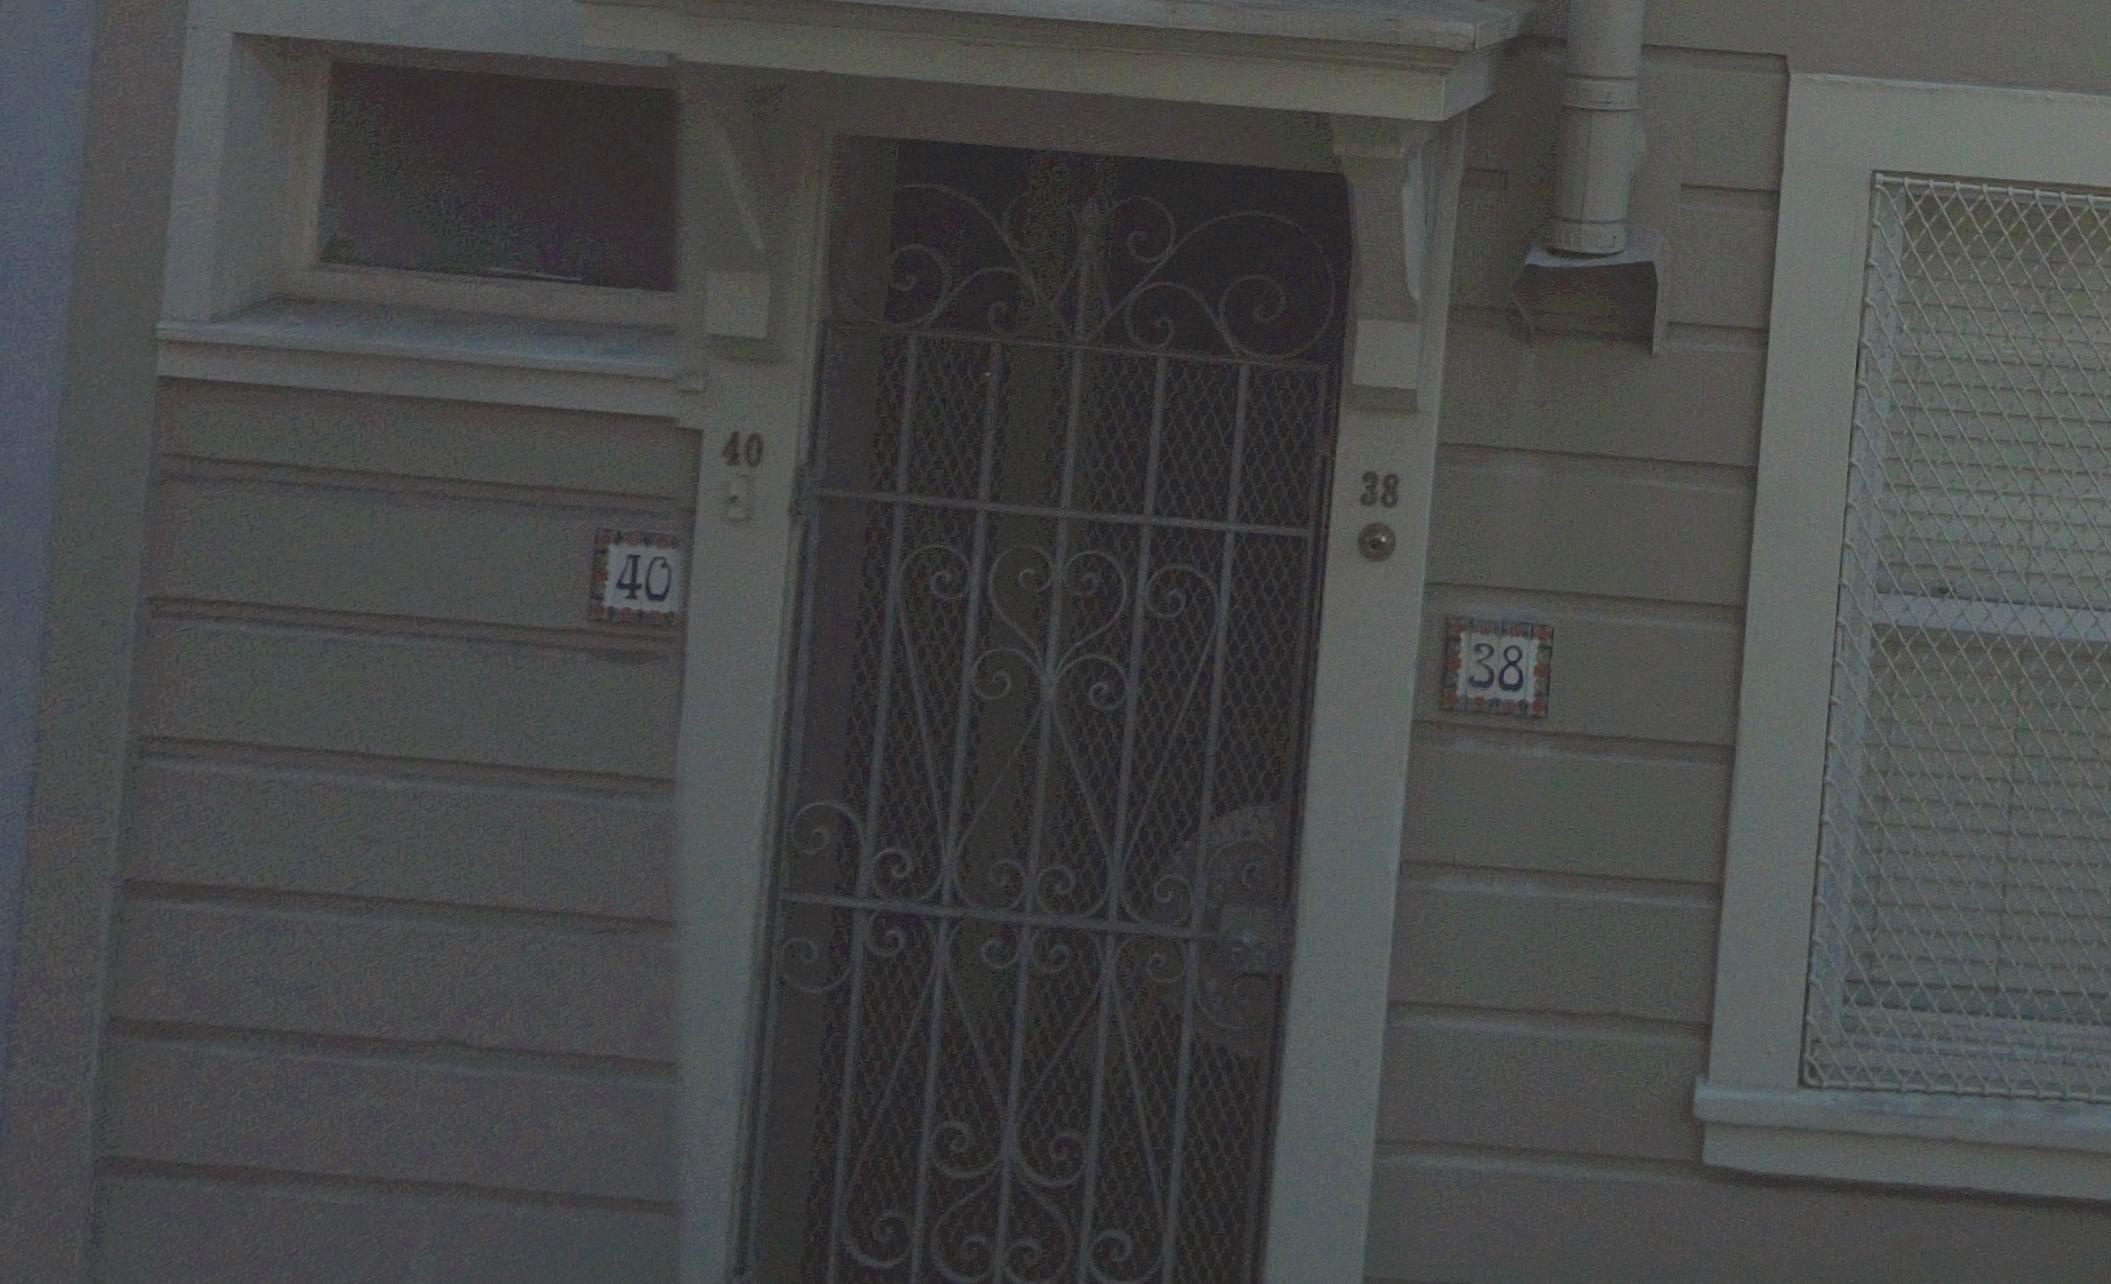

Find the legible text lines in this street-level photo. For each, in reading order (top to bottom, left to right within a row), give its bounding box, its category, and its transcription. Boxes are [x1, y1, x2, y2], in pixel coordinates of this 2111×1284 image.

[718, 425, 769, 474] StreetNumber: 40
[1356, 466, 1402, 512] StreetNumber: 38
[611, 547, 679, 605] StreetNumber: 40
[1462, 639, 1529, 695] StreetNumber: 38